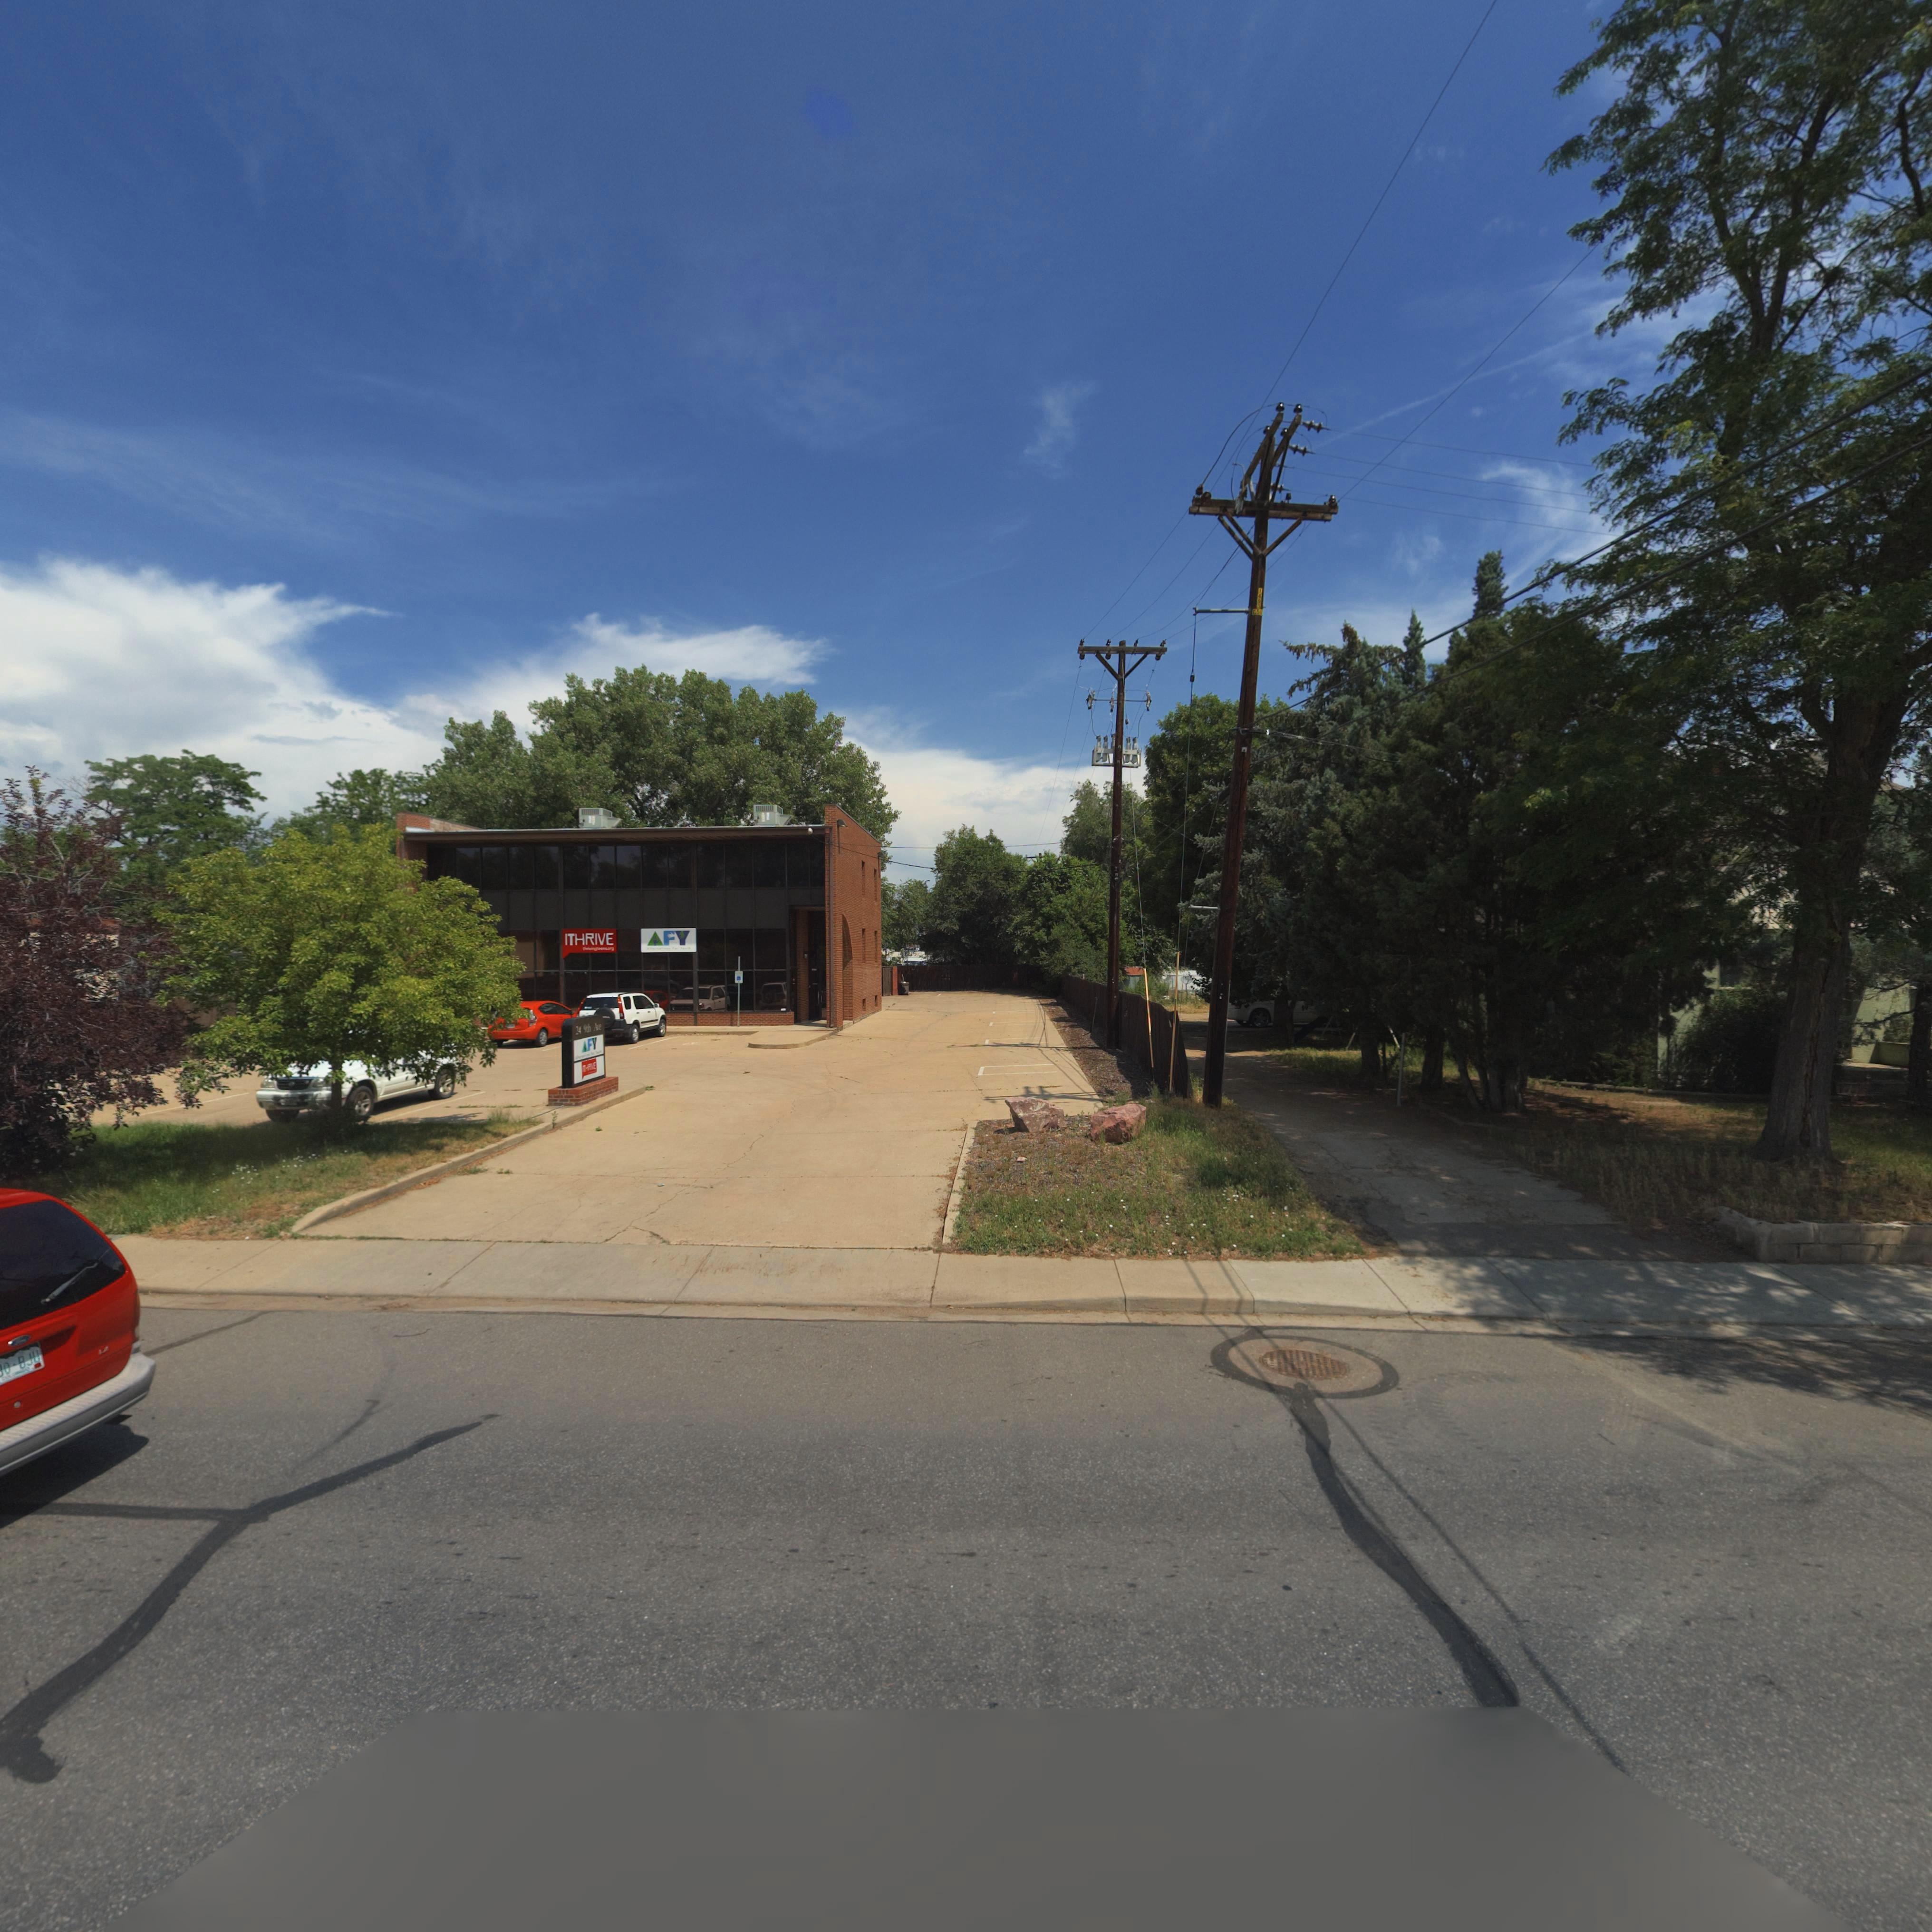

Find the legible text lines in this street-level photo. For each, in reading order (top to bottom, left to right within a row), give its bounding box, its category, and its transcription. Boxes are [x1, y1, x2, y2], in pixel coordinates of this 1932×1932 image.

[565, 933, 613, 946] BusinessName: ITHRIVE
[663, 930, 690, 946] BusinessName: FY
[575, 1025, 581, 1035] StreetNumber: 24
[583, 1023, 602, 1033] StreetName: 9th A*e
[587, 1037, 597, 1051] BusinessName: FY
[582, 1062, 596, 1072] BusinessName: ITHR*VE